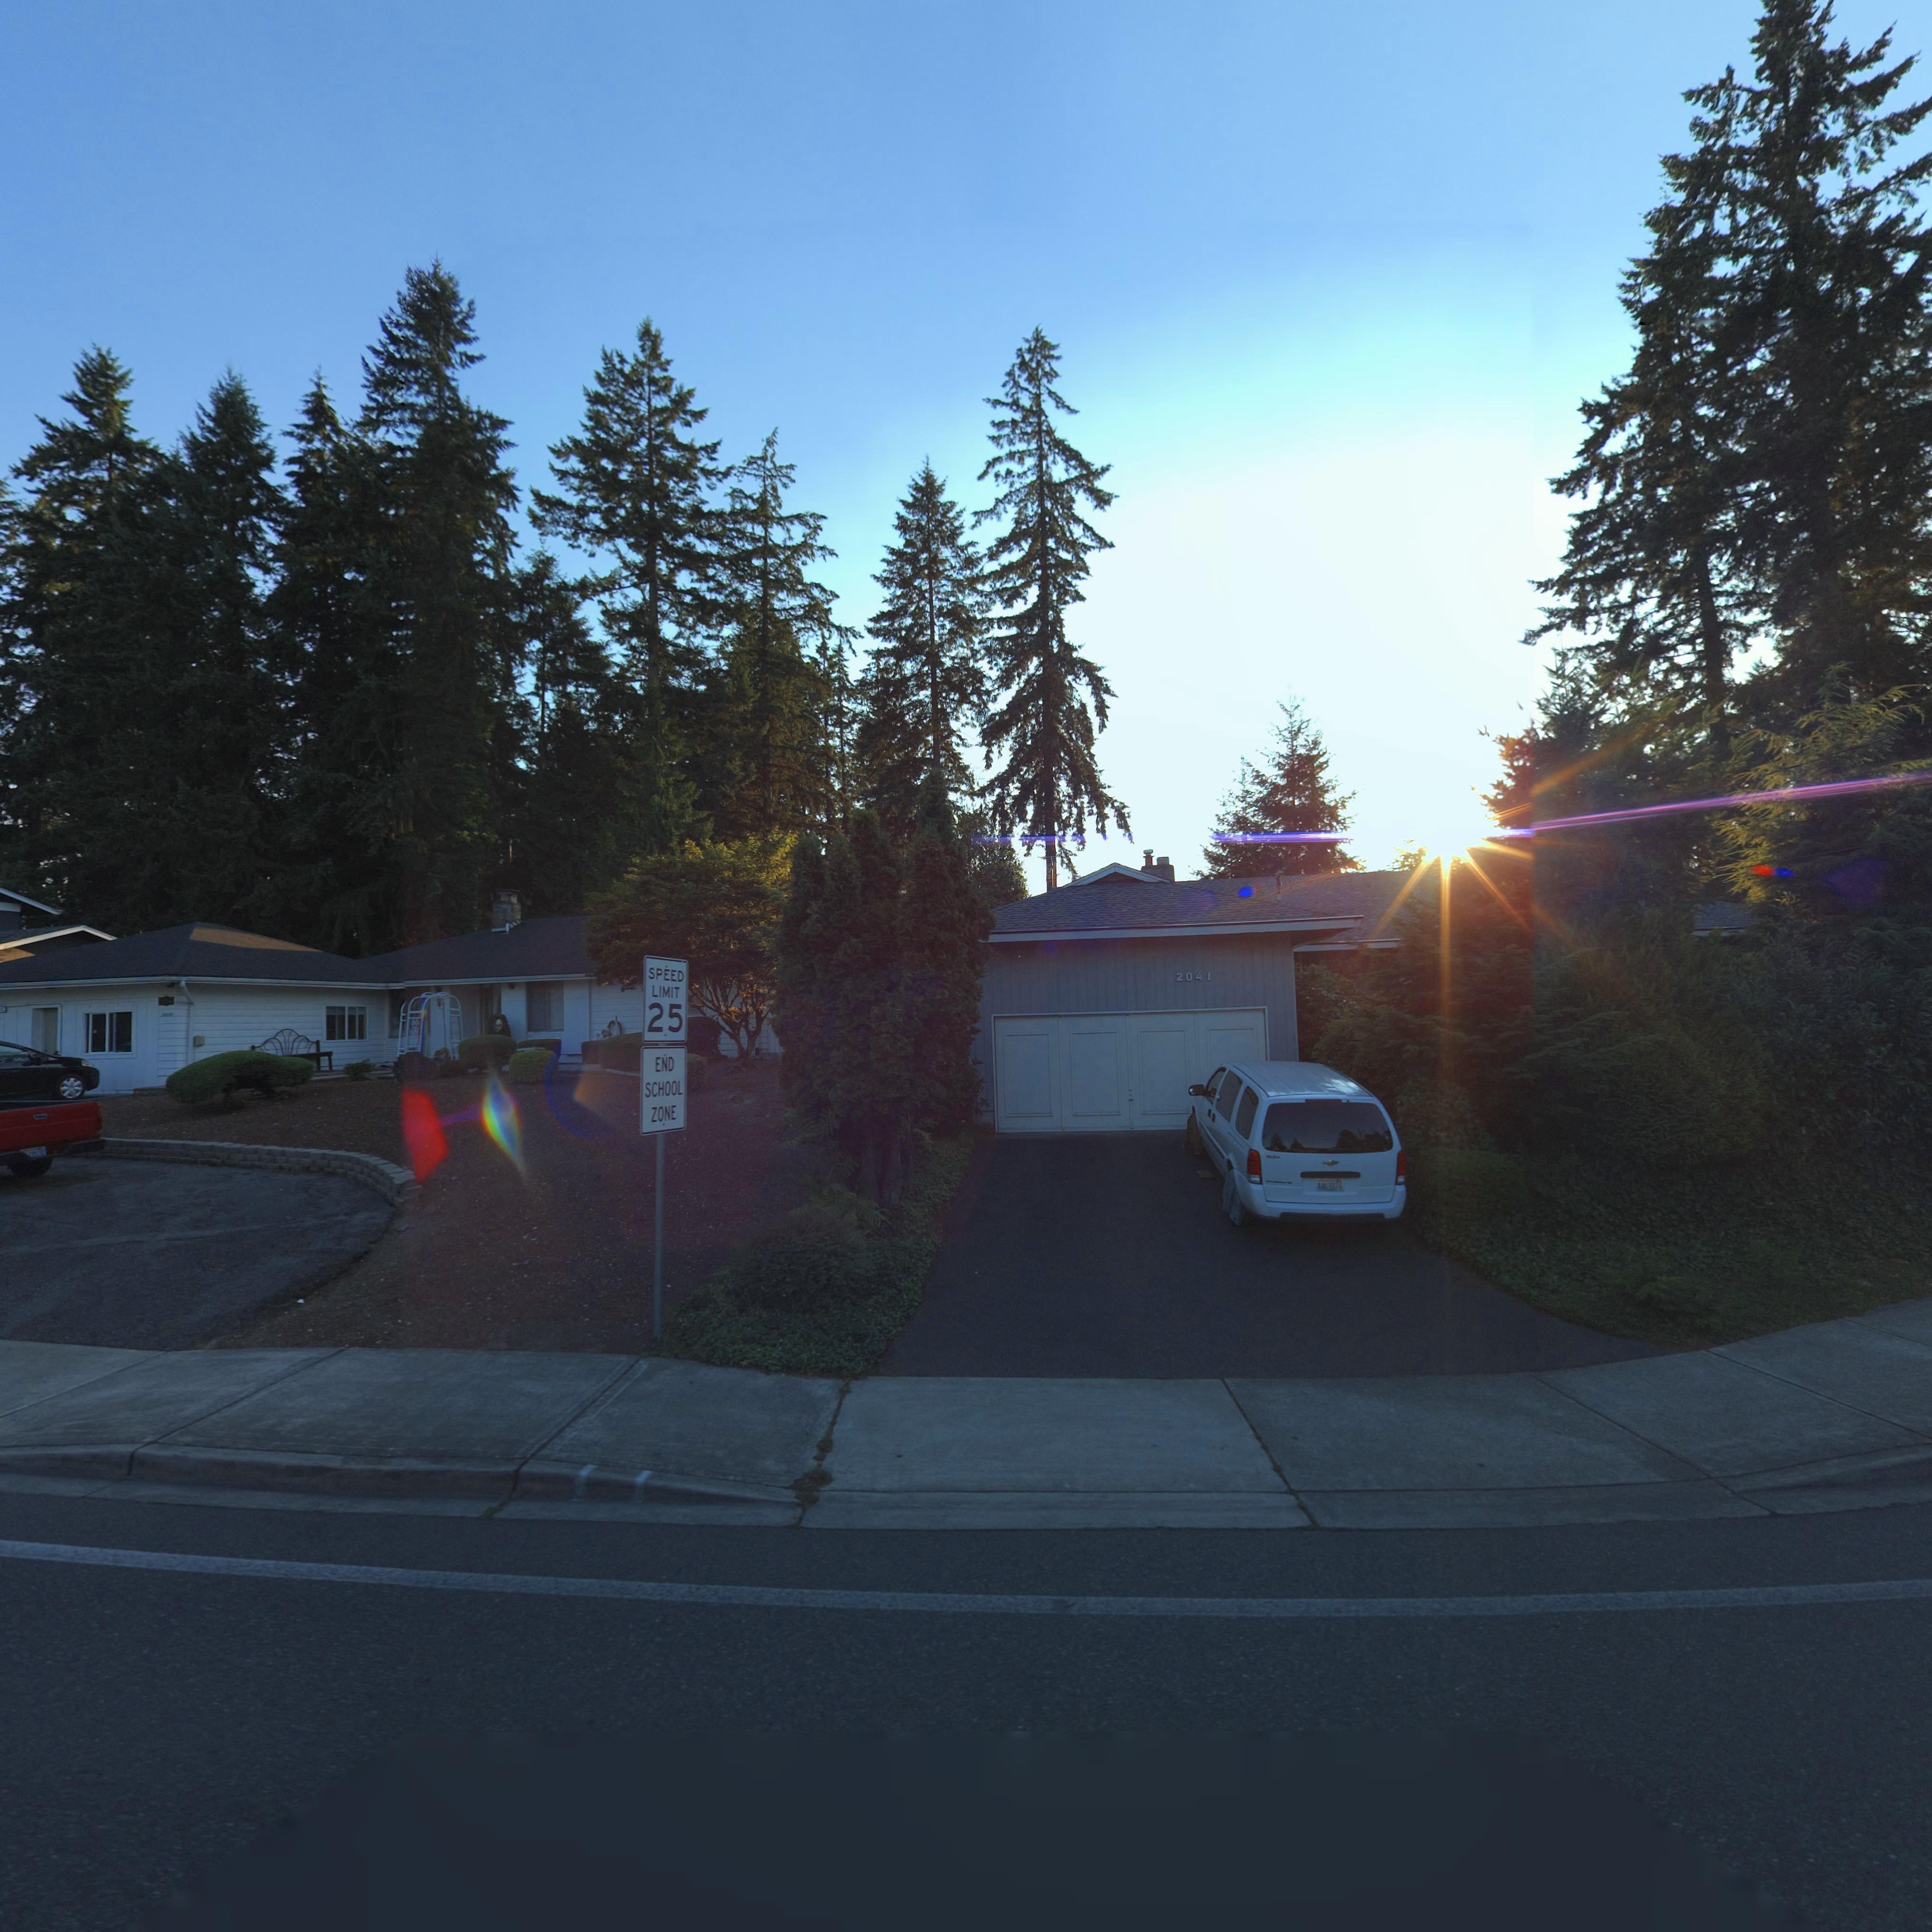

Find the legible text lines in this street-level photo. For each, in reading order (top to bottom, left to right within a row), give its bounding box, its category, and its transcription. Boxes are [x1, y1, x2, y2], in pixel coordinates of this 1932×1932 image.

[1176, 972, 1210, 981] StreetNumber: 2041